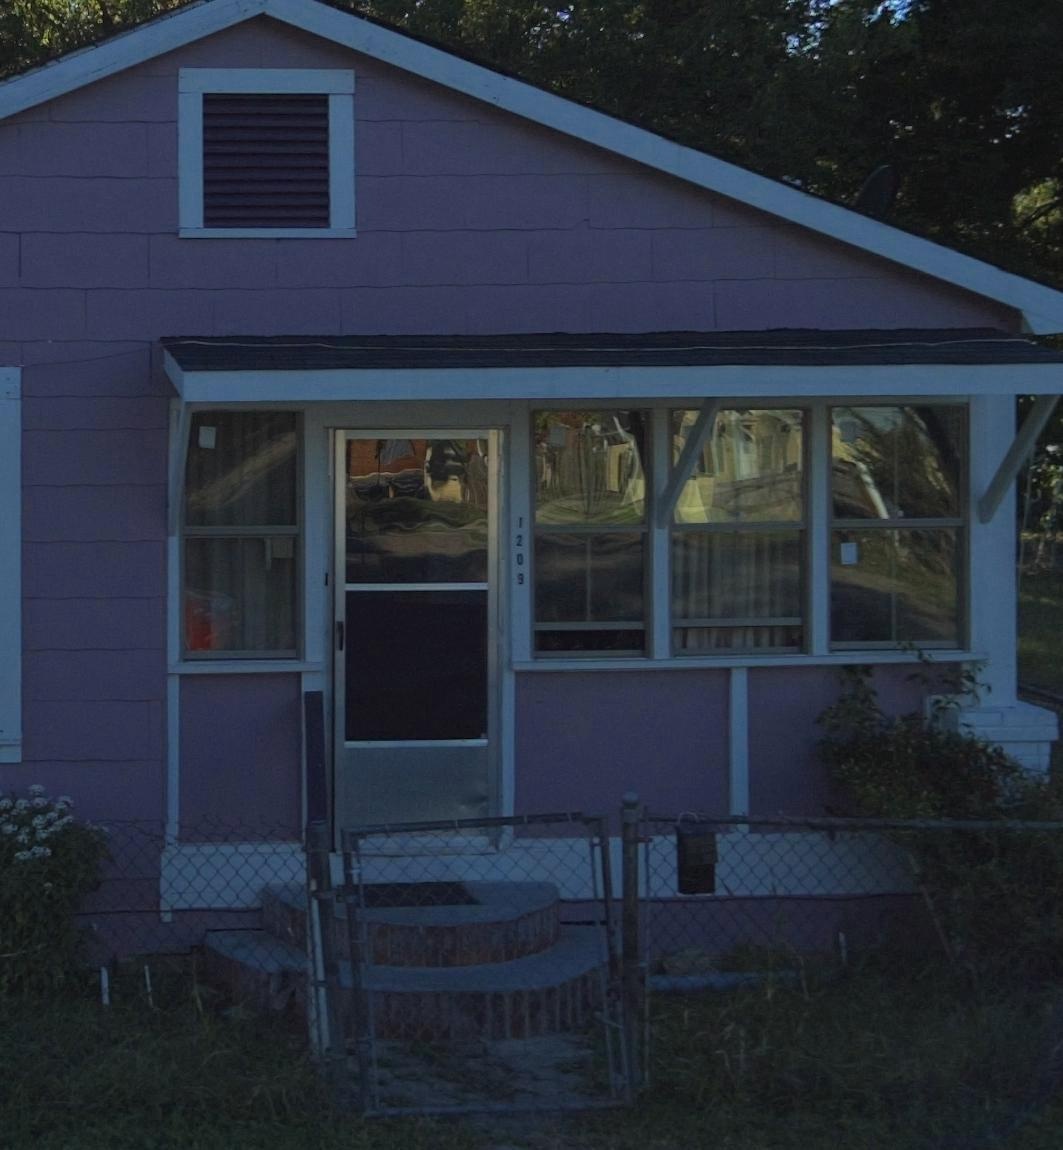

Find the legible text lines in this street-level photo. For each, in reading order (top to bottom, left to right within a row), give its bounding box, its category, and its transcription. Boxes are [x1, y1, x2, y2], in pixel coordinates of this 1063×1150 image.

[513, 514, 527, 588] StreetNumber: 1209